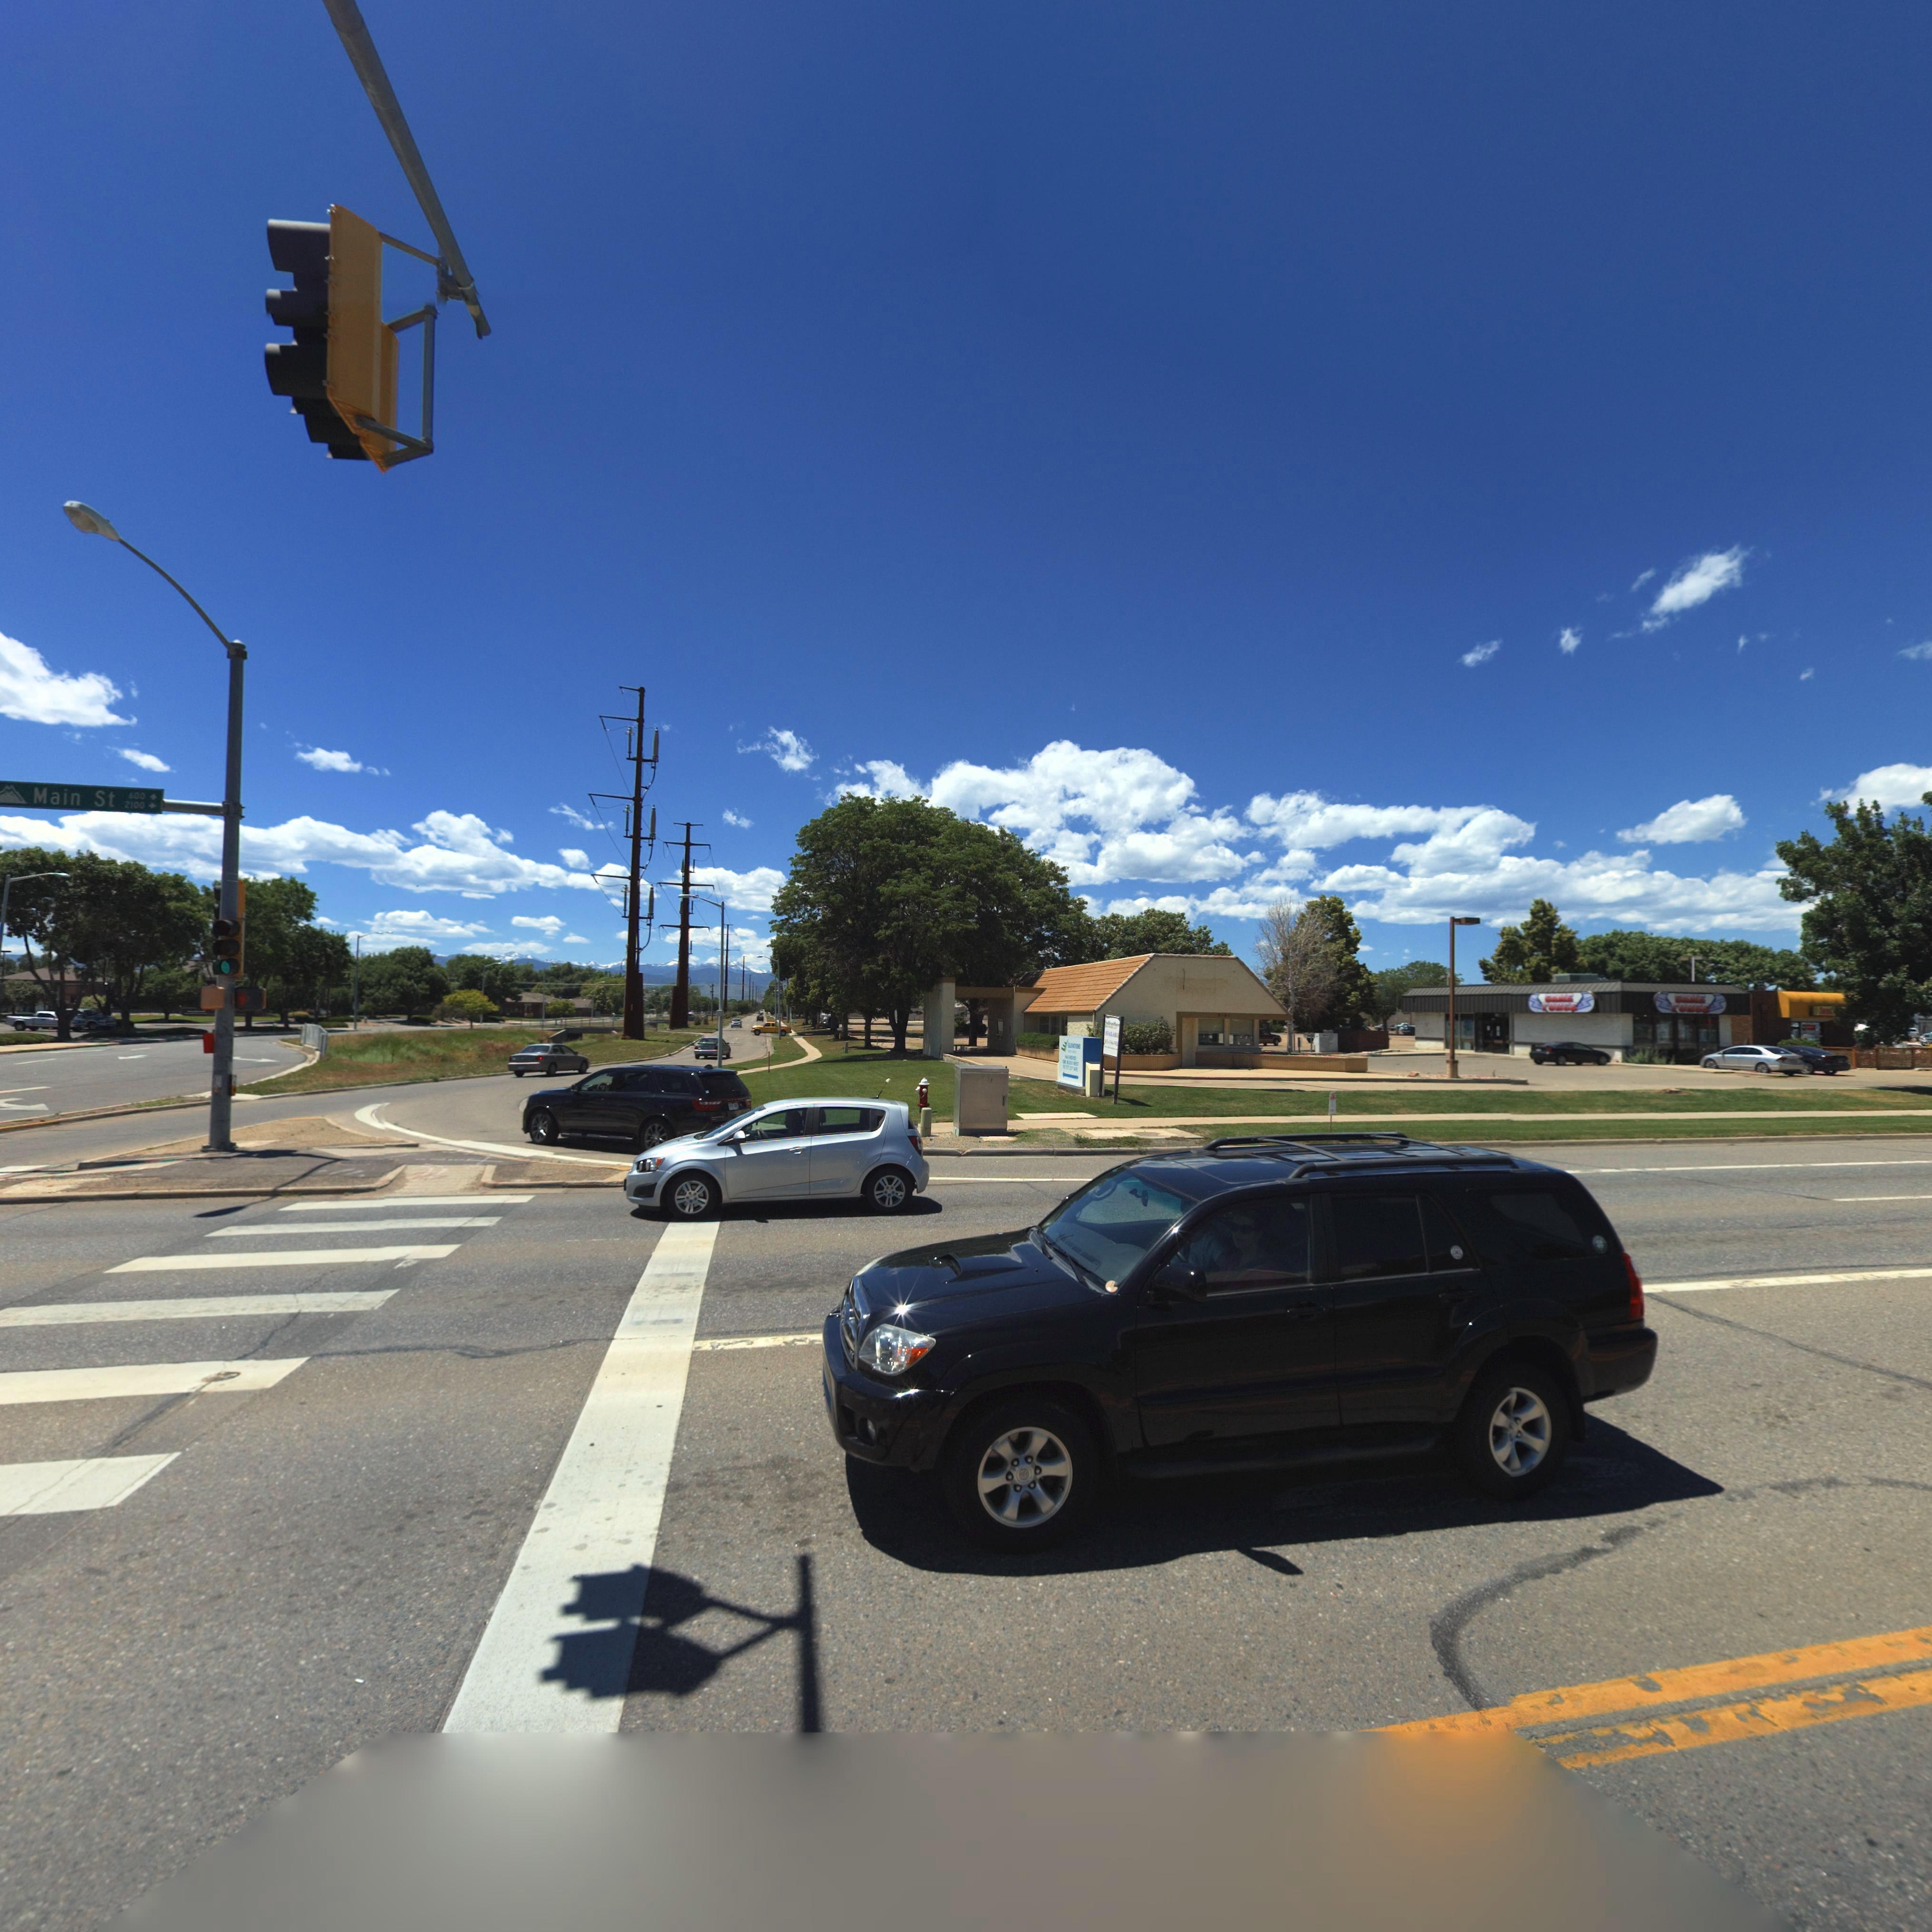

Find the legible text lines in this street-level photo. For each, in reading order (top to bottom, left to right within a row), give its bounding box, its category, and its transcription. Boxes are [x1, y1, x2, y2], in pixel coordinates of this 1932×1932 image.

[32, 786, 116, 808] StreetName: Main St
[127, 791, 145, 800] StreetNumberRange: 600
[124, 800, 158, 809] StreetNumberRange: 2100->
[1544, 992, 1574, 1002] BusinessName: GAME
[1674, 993, 1706, 1003] BusinessName: GAME
[1541, 1002, 1578, 1011] BusinessName: FORCE
[1671, 1002, 1709, 1013] BusinessName: FORCE